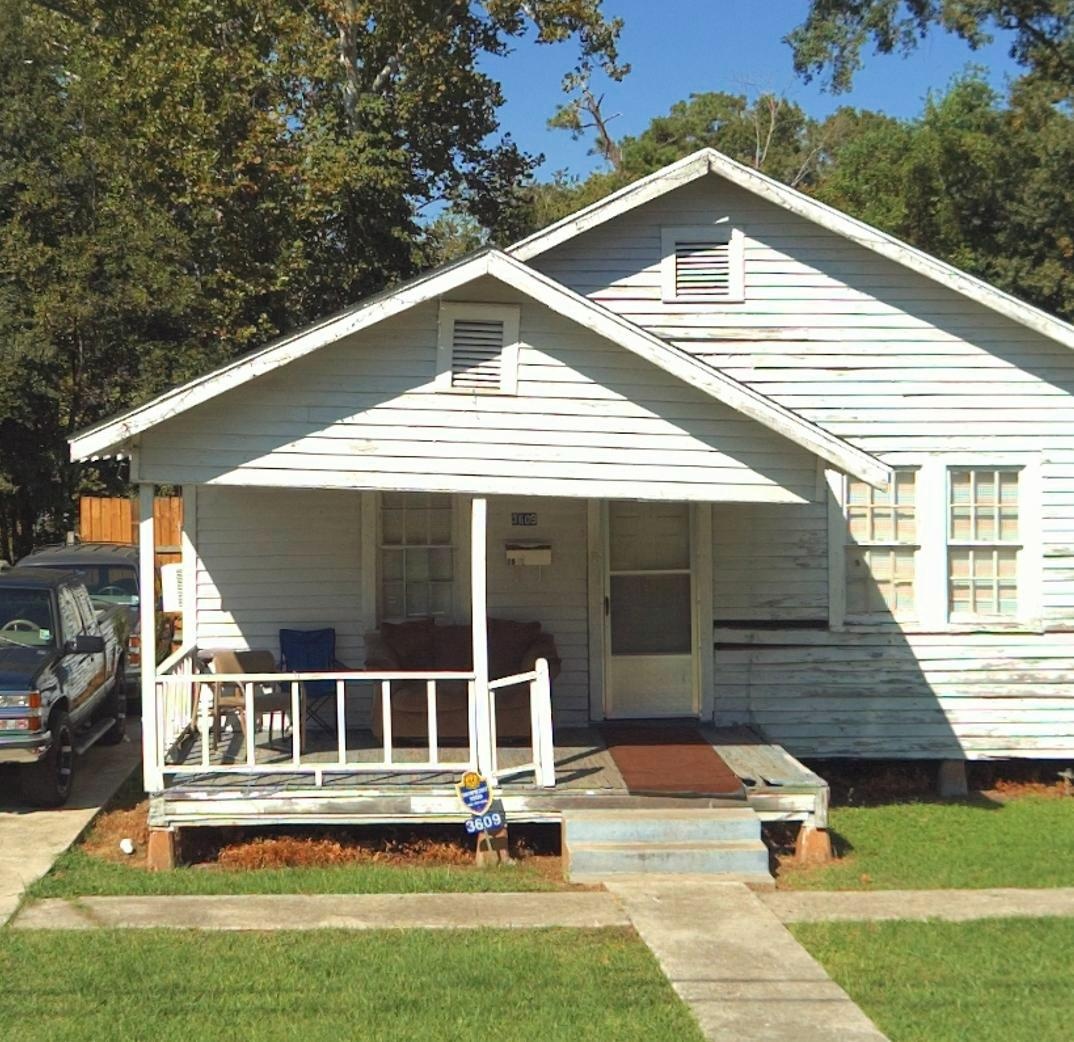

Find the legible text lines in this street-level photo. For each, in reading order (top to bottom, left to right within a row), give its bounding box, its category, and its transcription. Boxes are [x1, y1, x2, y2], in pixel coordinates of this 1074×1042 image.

[512, 513, 537, 525] StreetNumber: 3609
[462, 811, 504, 835] StreetNumber: 3609